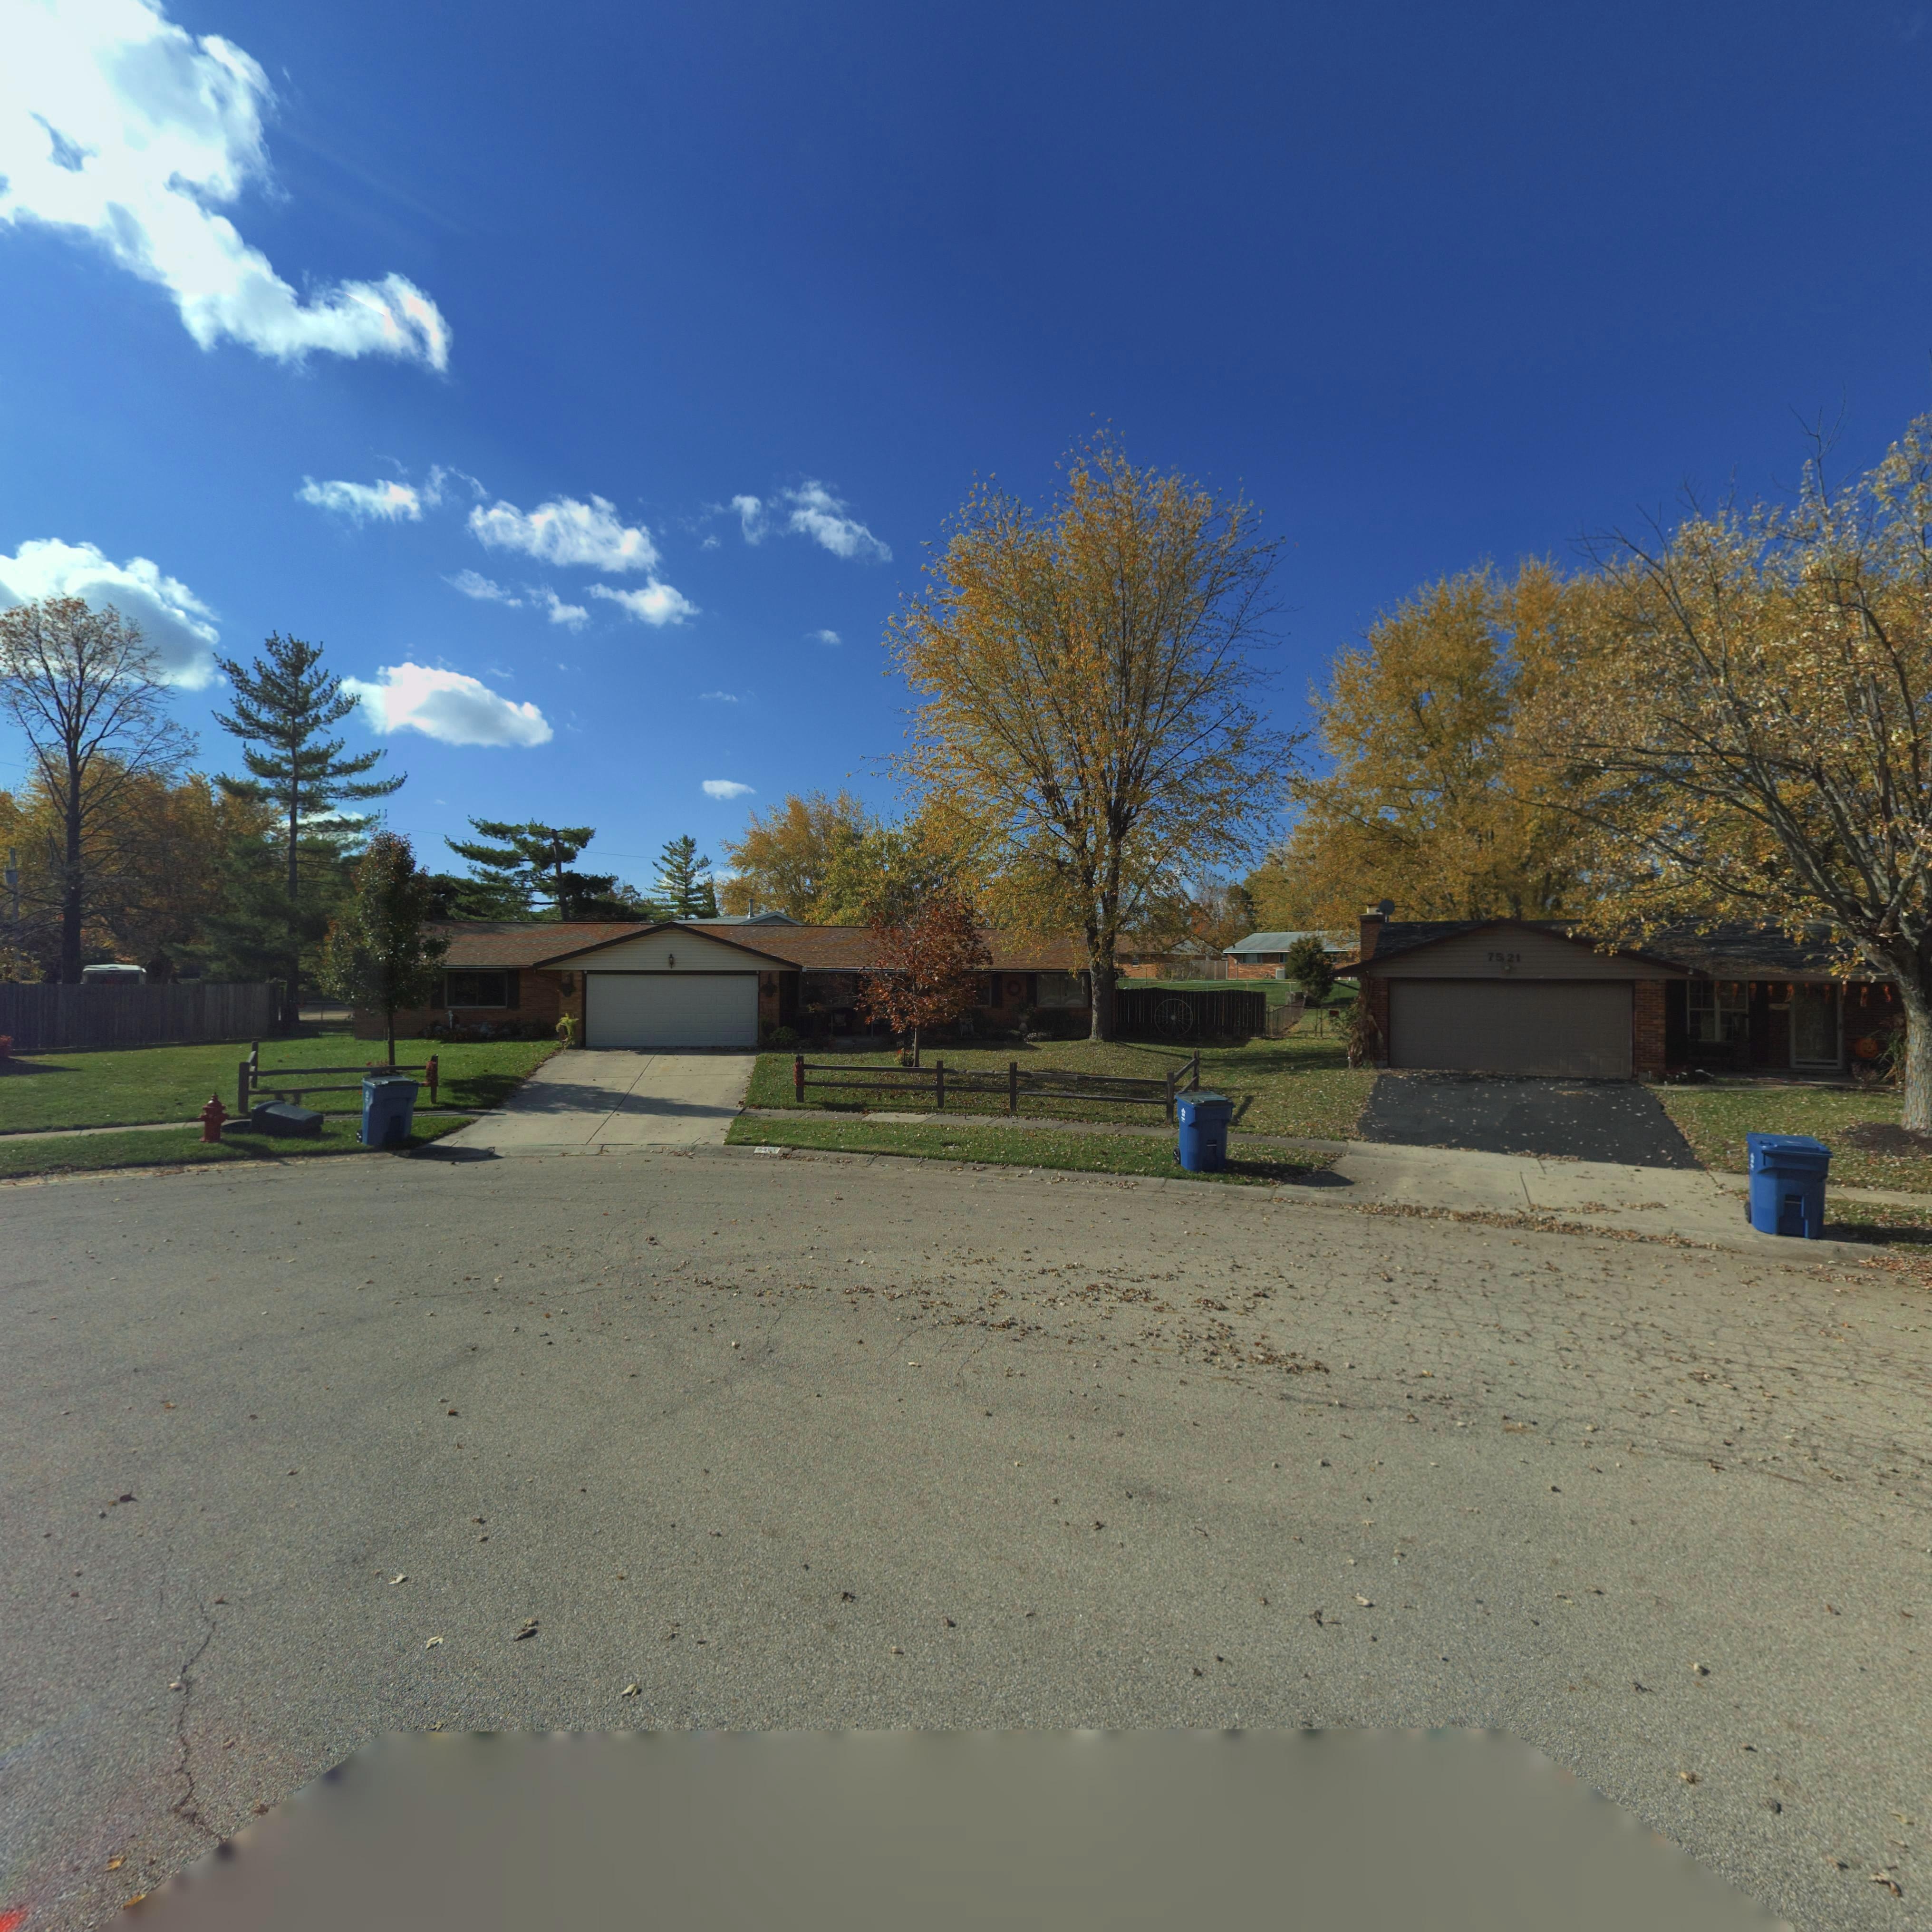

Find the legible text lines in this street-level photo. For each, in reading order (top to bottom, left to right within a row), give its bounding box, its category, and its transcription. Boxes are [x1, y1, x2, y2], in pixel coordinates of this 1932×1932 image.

[1487, 951, 1522, 964] StreetNumber: 7521